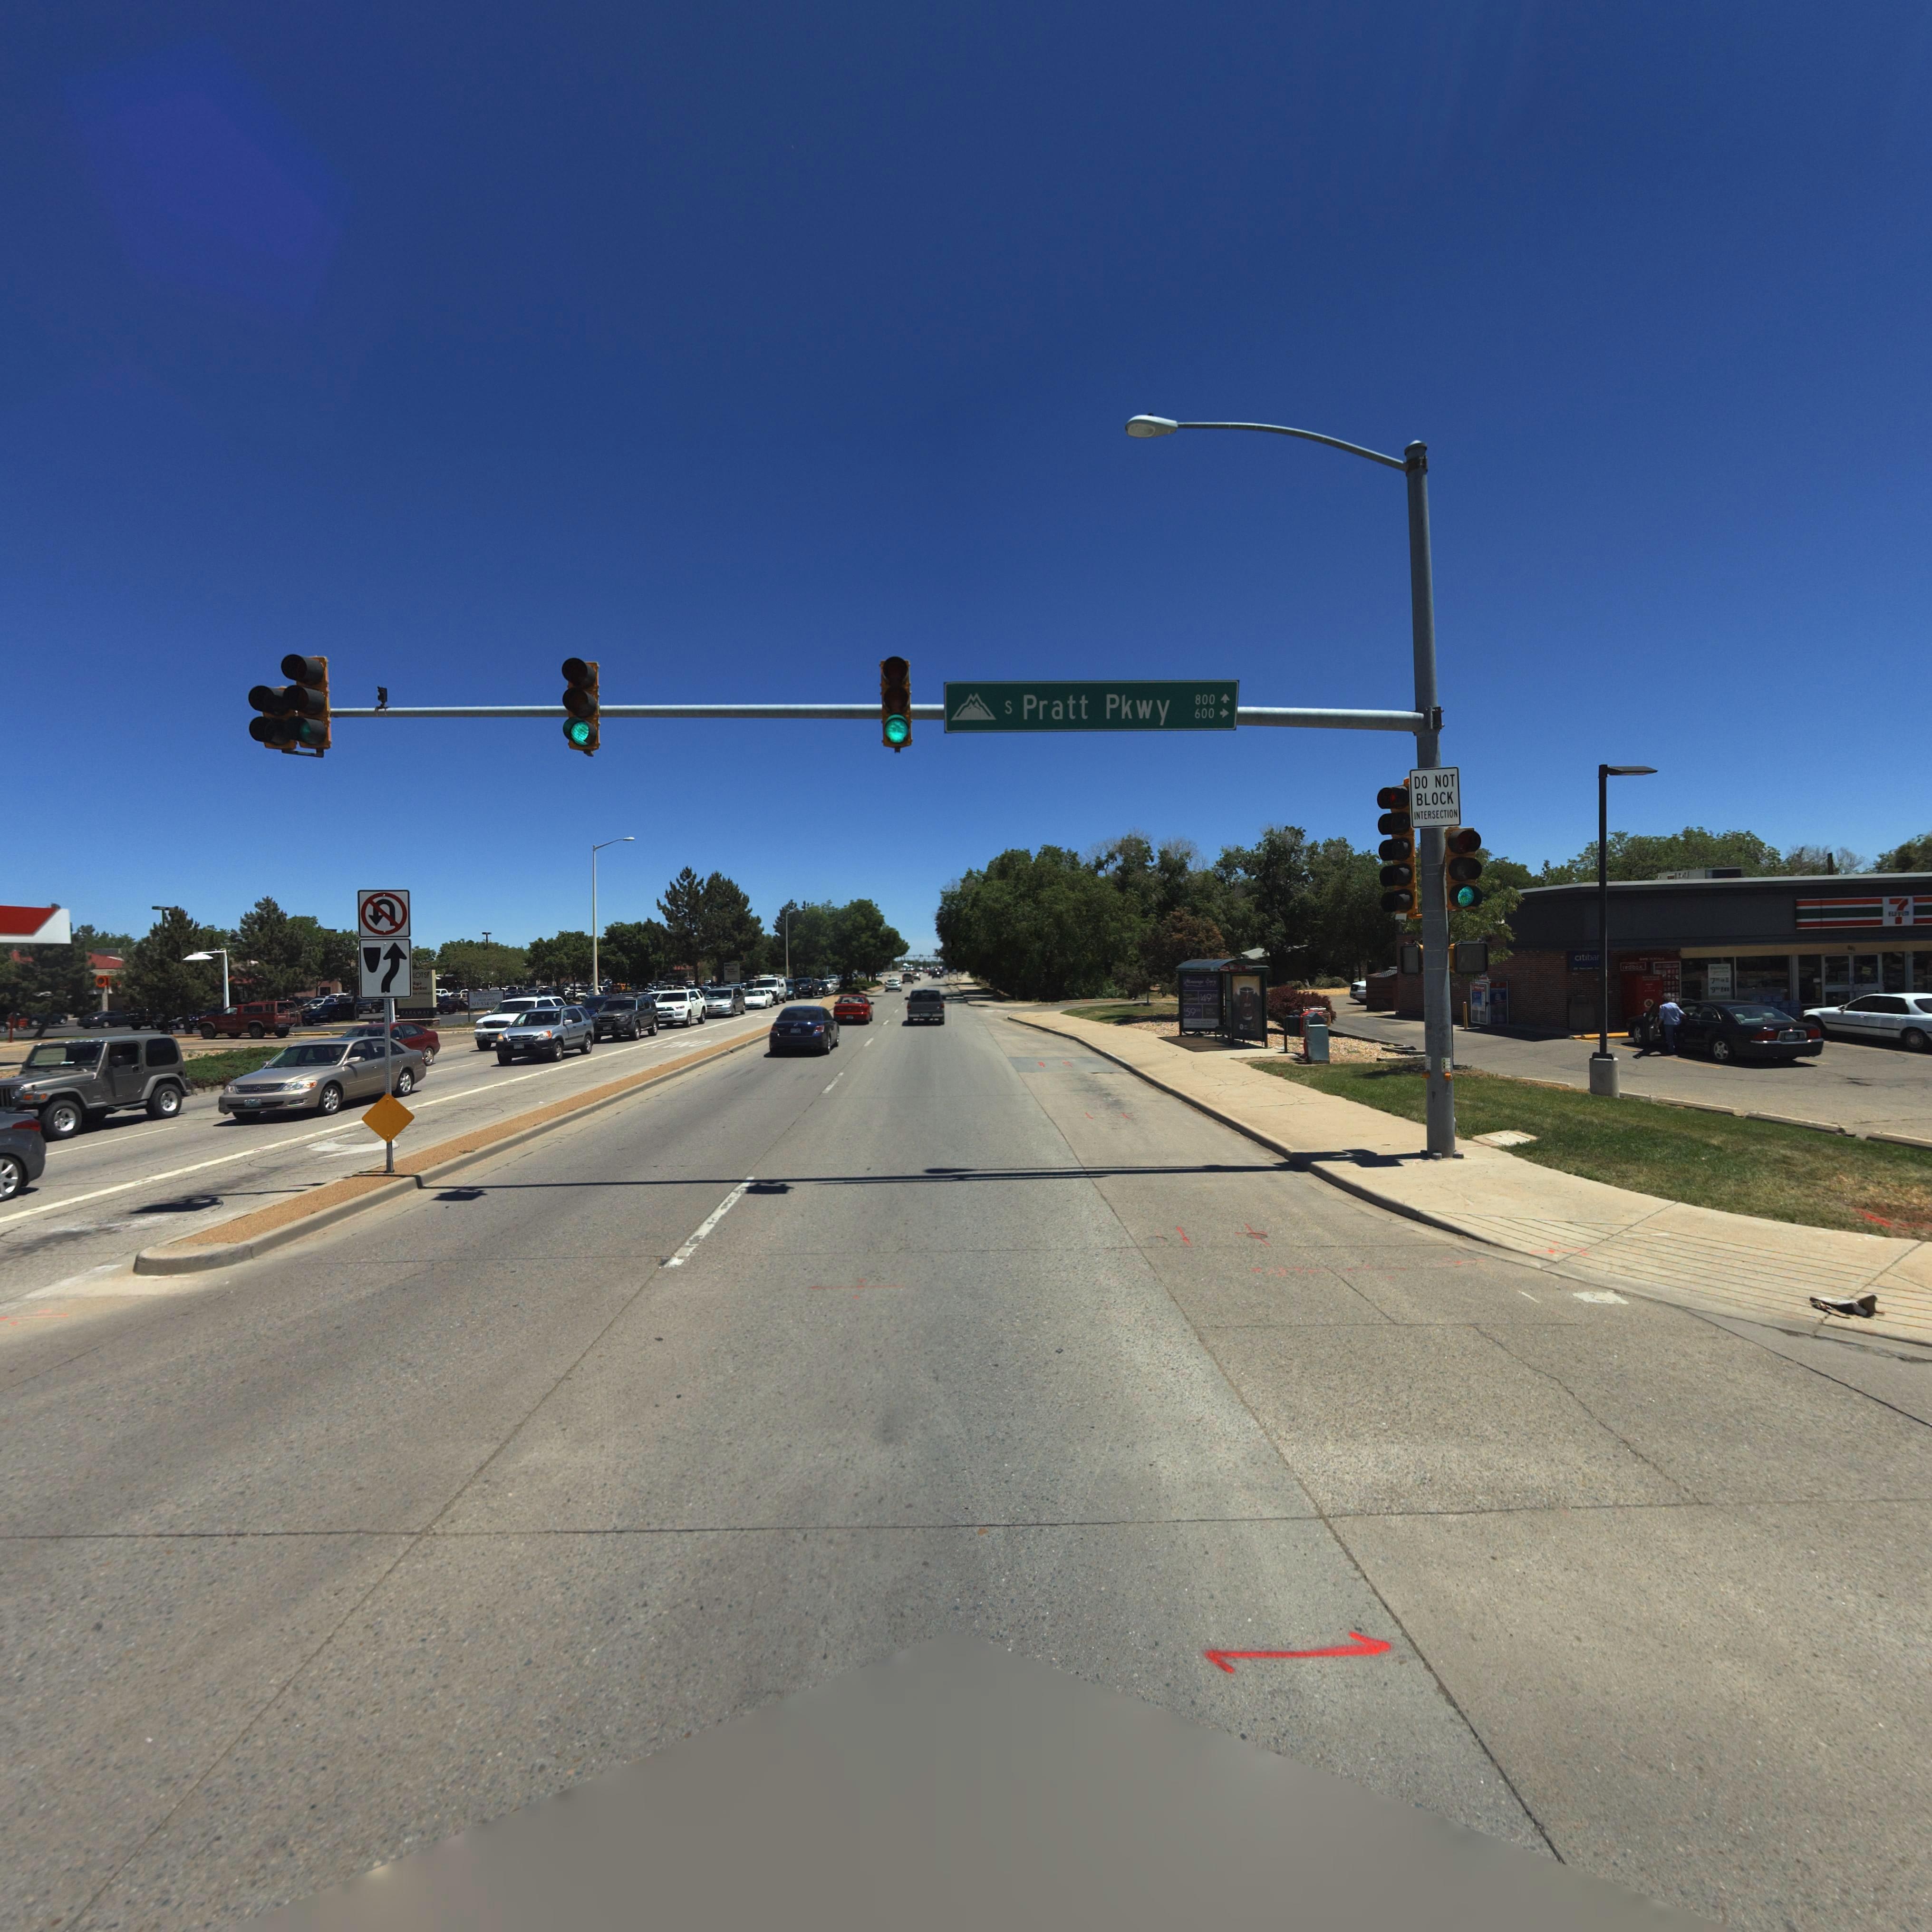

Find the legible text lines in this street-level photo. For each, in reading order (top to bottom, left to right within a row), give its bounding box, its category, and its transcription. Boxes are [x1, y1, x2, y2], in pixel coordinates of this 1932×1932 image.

[1194, 694, 1216, 705] StreetNumberRange: 800
[1003, 693, 1171, 727] StreetName: S Pratt Pkwy
[1194, 707, 1230, 719] StreetNumberRange: 600->
[1888, 897, 1909, 925] BusinessName: 7
[94, 975, 115, 988] BusinessName: O*
[413, 971, 430, 978] BusinessName: LOT**